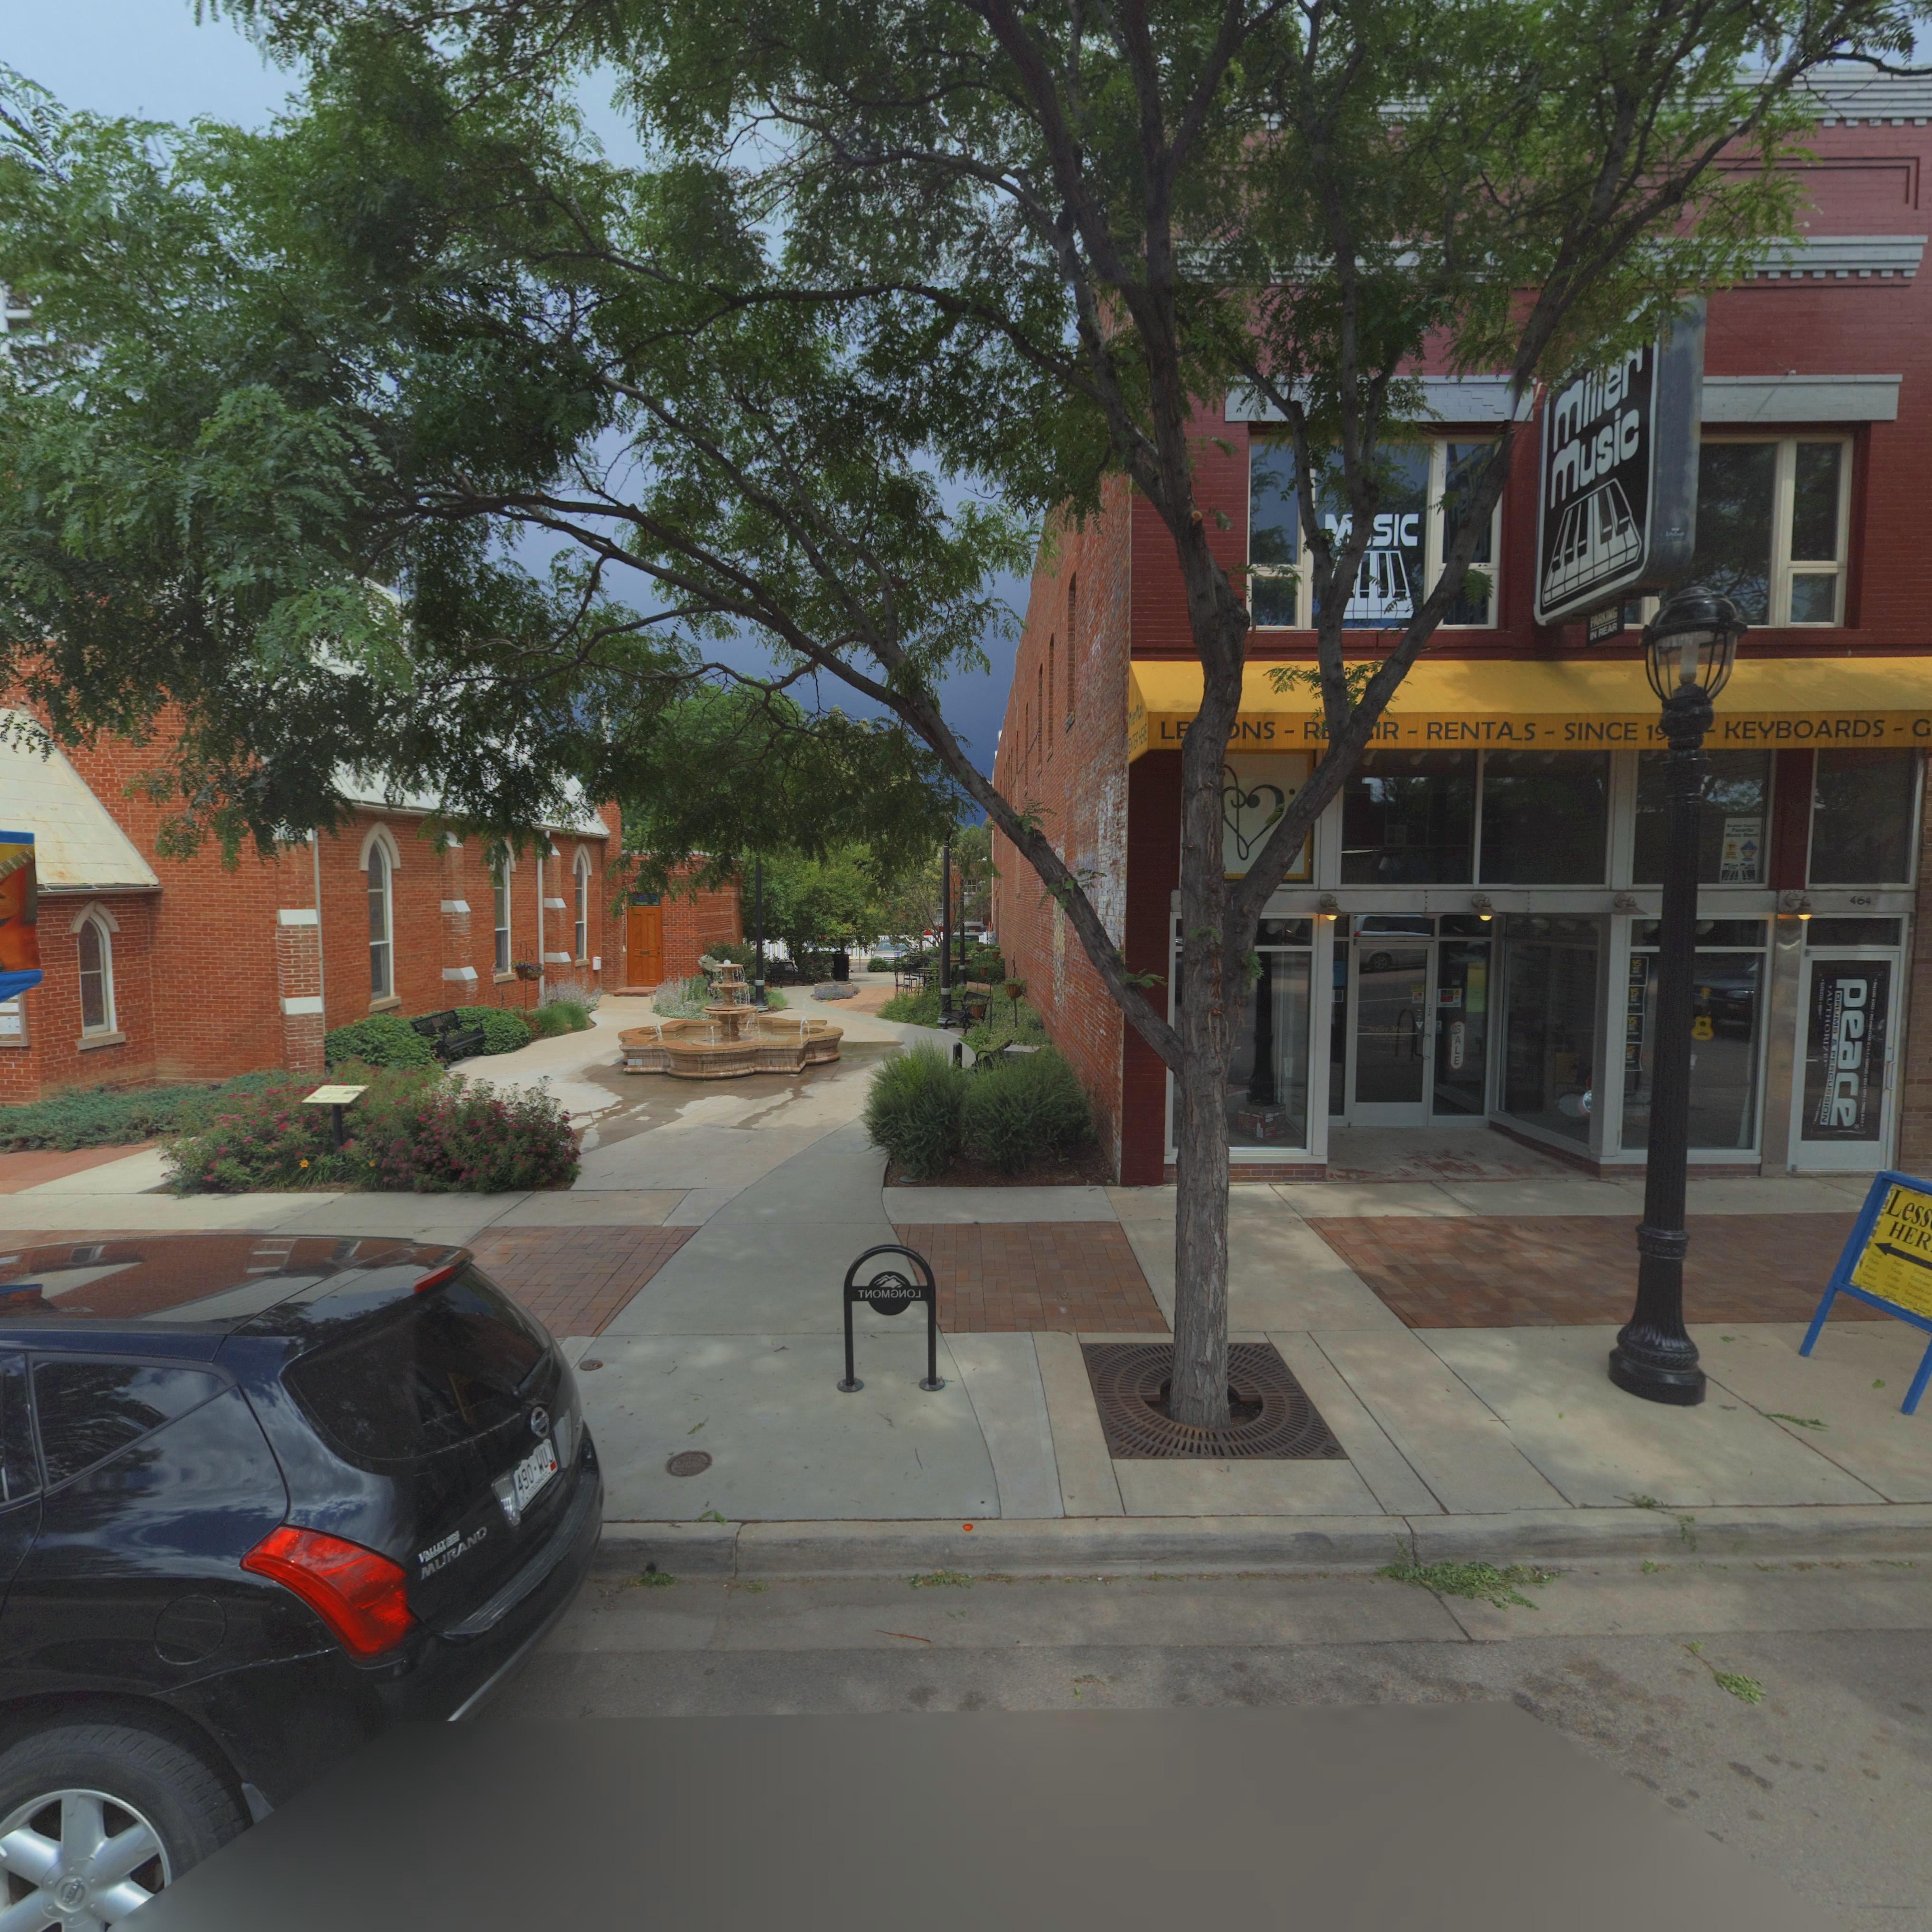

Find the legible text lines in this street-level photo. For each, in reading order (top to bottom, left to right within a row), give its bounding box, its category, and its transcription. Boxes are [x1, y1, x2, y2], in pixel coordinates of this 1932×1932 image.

[1552, 334, 1644, 454] BusinessName: Miller
[1550, 406, 1641, 510] BusinessName: Music
[1849, 895, 1872, 905] StreetNumber: 46*
[1367, 1024, 1411, 1033] BusinessName: Miller Music